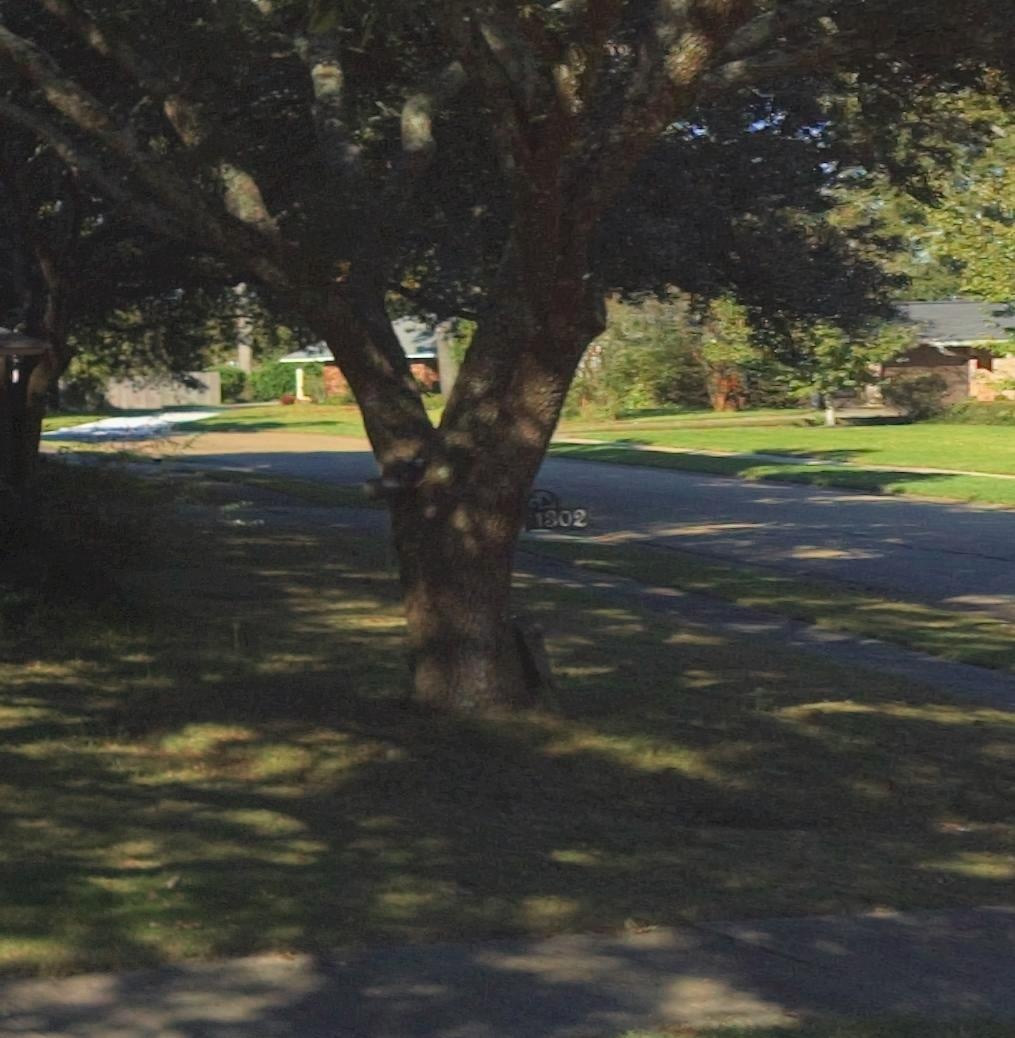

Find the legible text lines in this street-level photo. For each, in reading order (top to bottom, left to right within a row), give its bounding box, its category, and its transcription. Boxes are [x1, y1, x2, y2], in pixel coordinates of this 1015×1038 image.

[534, 506, 589, 530] StreetNumber: 1*02